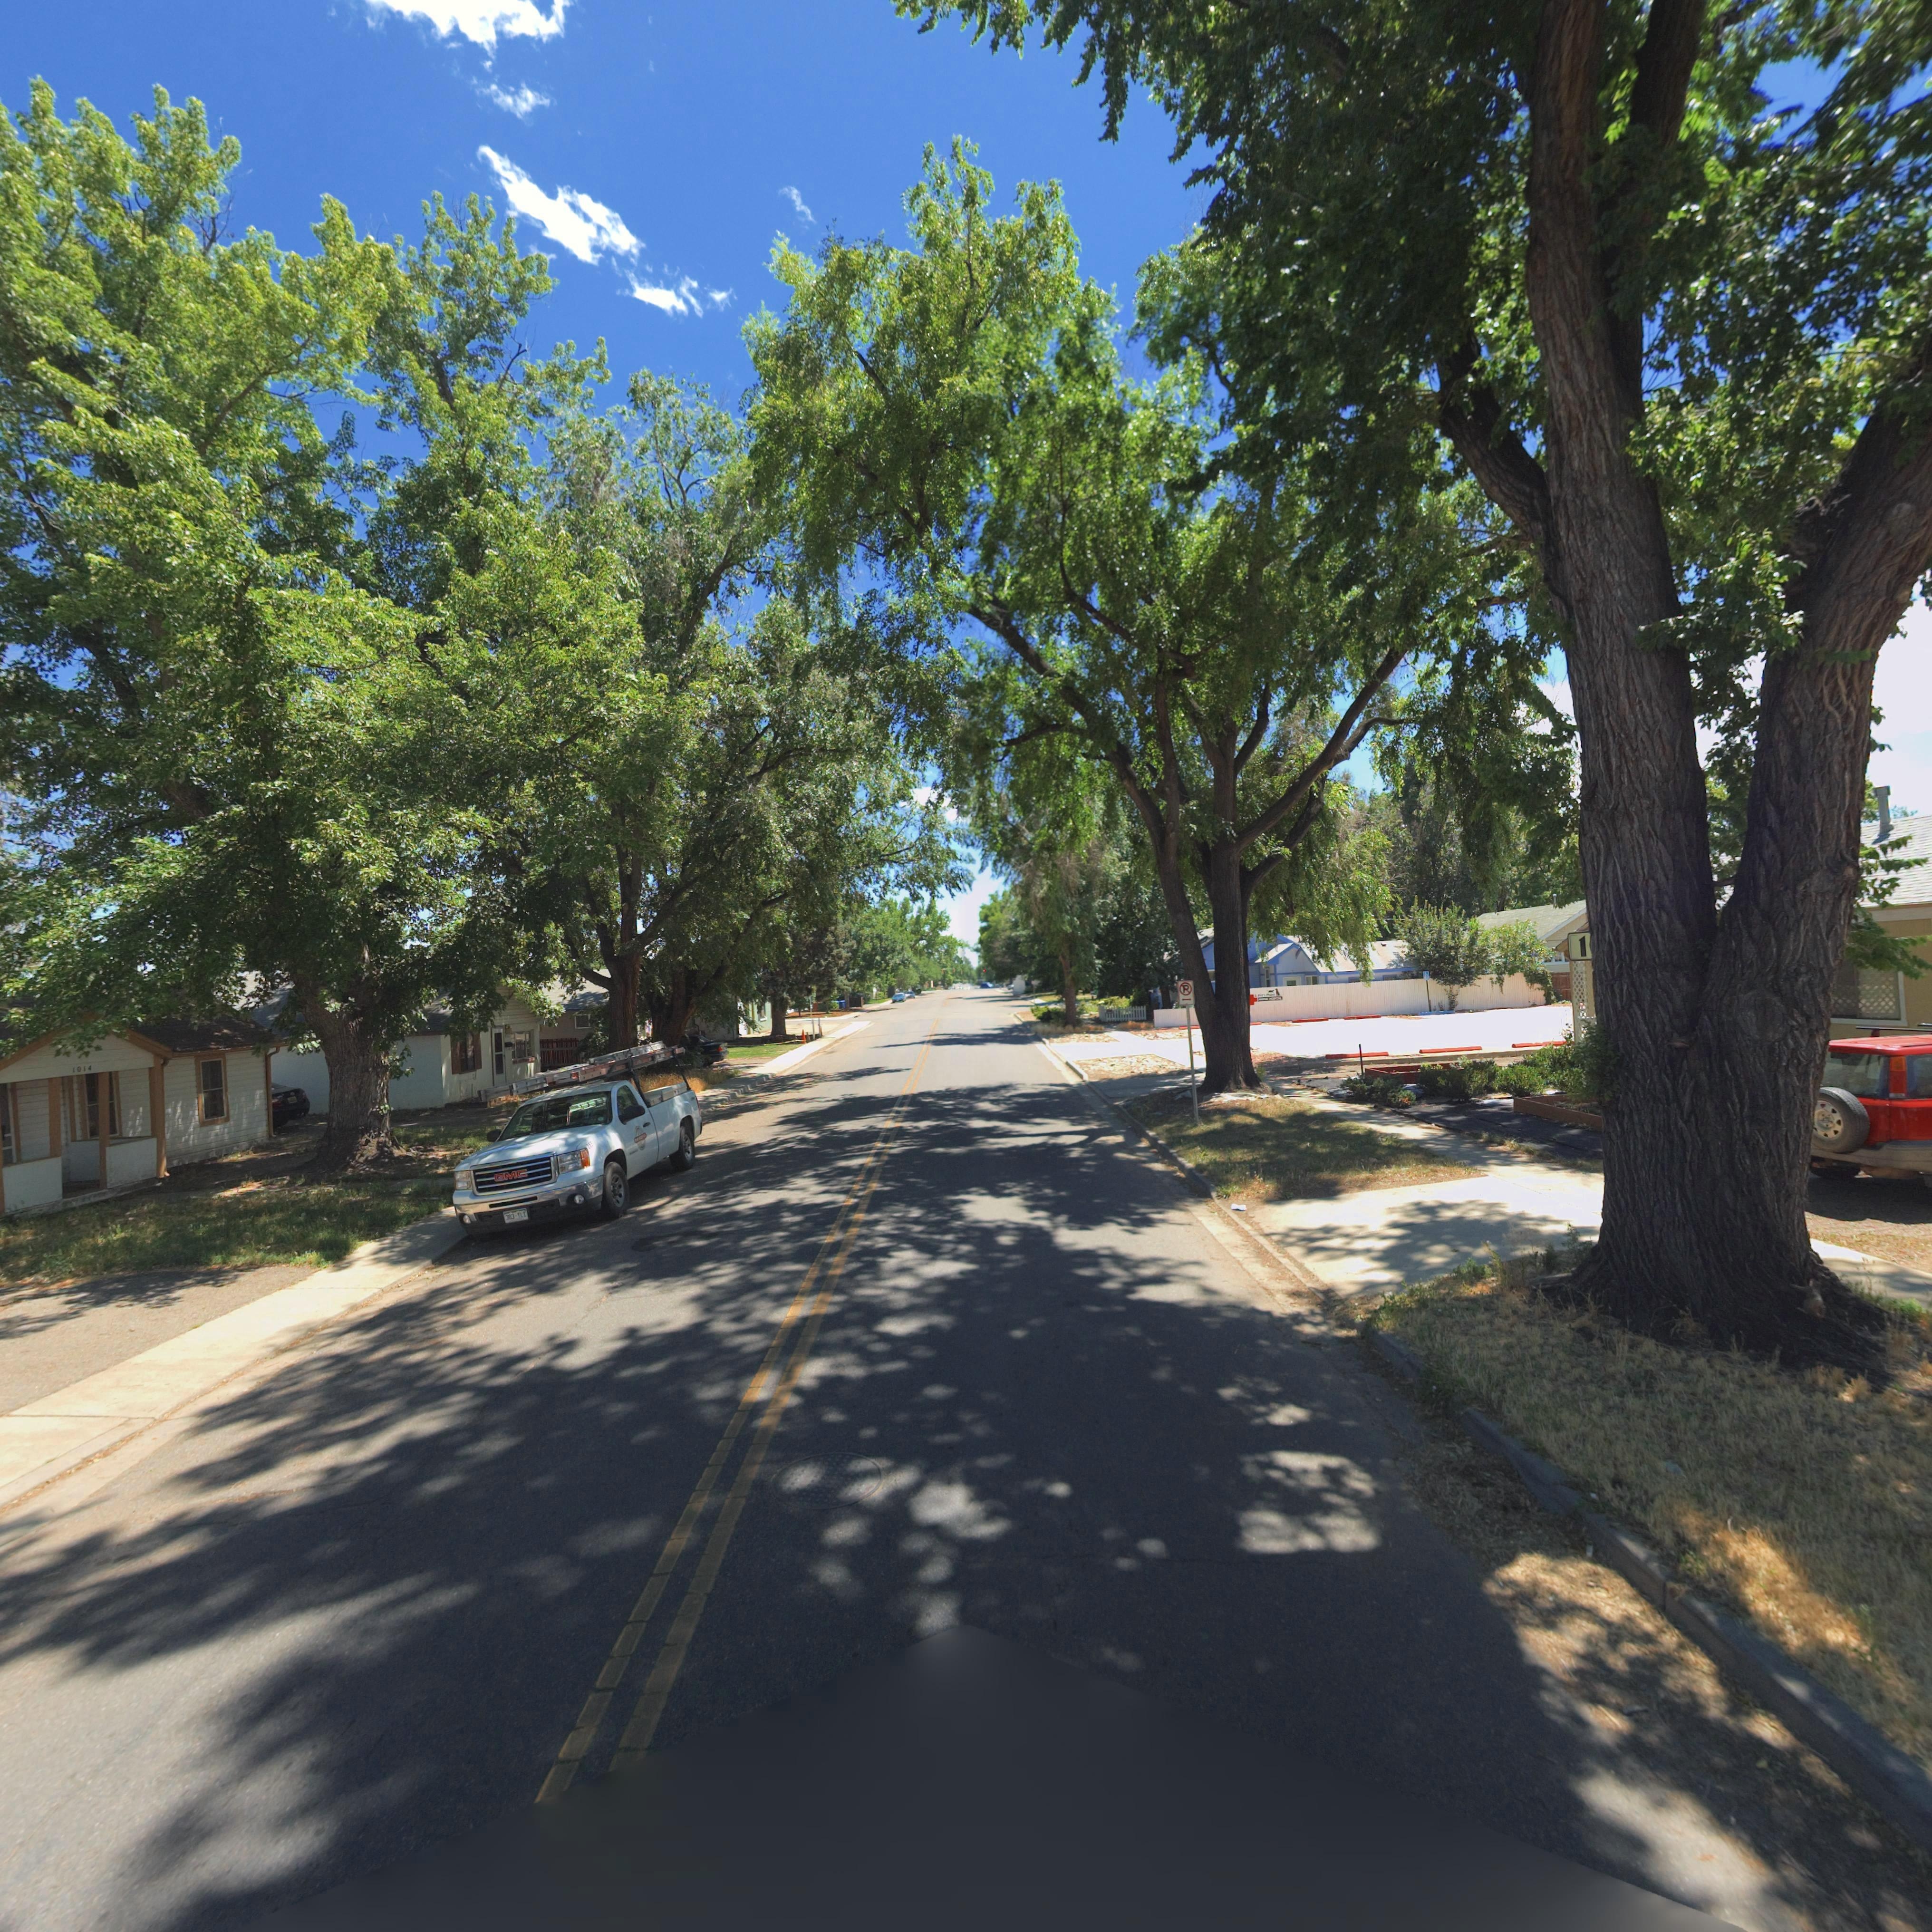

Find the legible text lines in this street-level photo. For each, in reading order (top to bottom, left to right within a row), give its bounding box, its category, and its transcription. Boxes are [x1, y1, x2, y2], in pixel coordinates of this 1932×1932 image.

[72, 1065, 92, 1073] StreetNumber: 1014